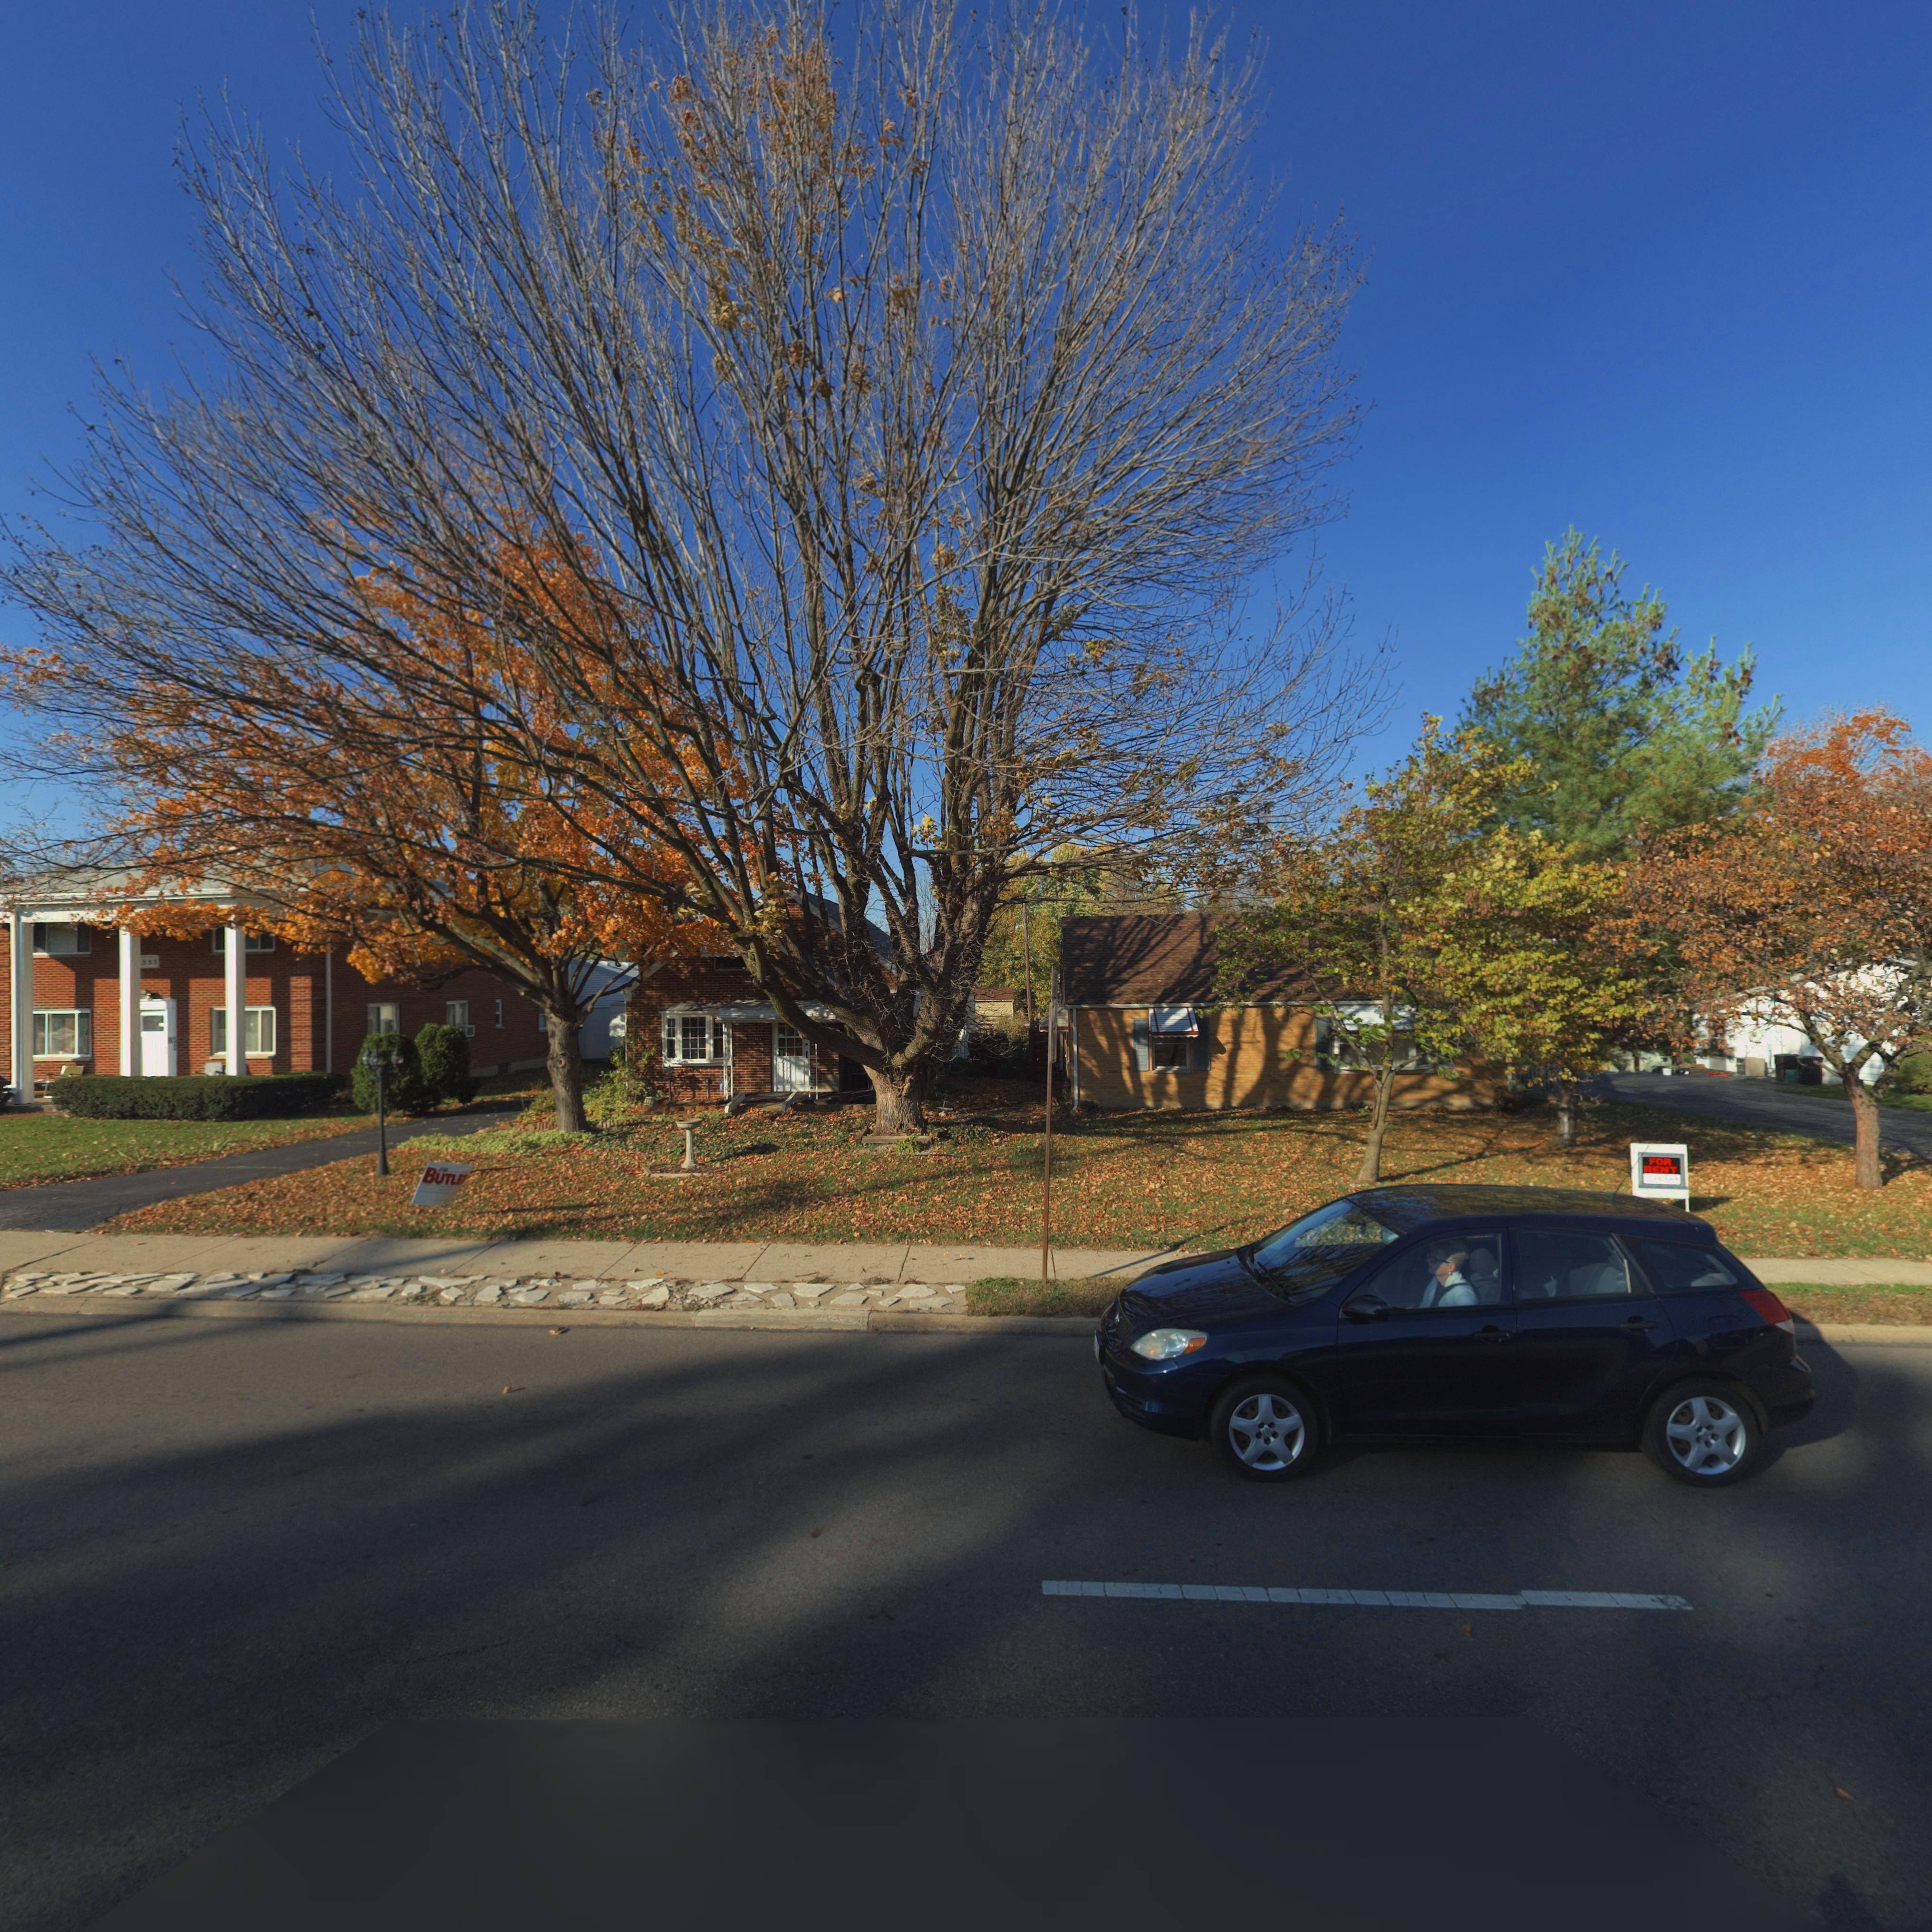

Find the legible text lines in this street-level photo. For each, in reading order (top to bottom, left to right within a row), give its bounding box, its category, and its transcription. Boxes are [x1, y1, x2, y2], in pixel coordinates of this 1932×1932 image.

[141, 959, 157, 966] StreetNumber: 555